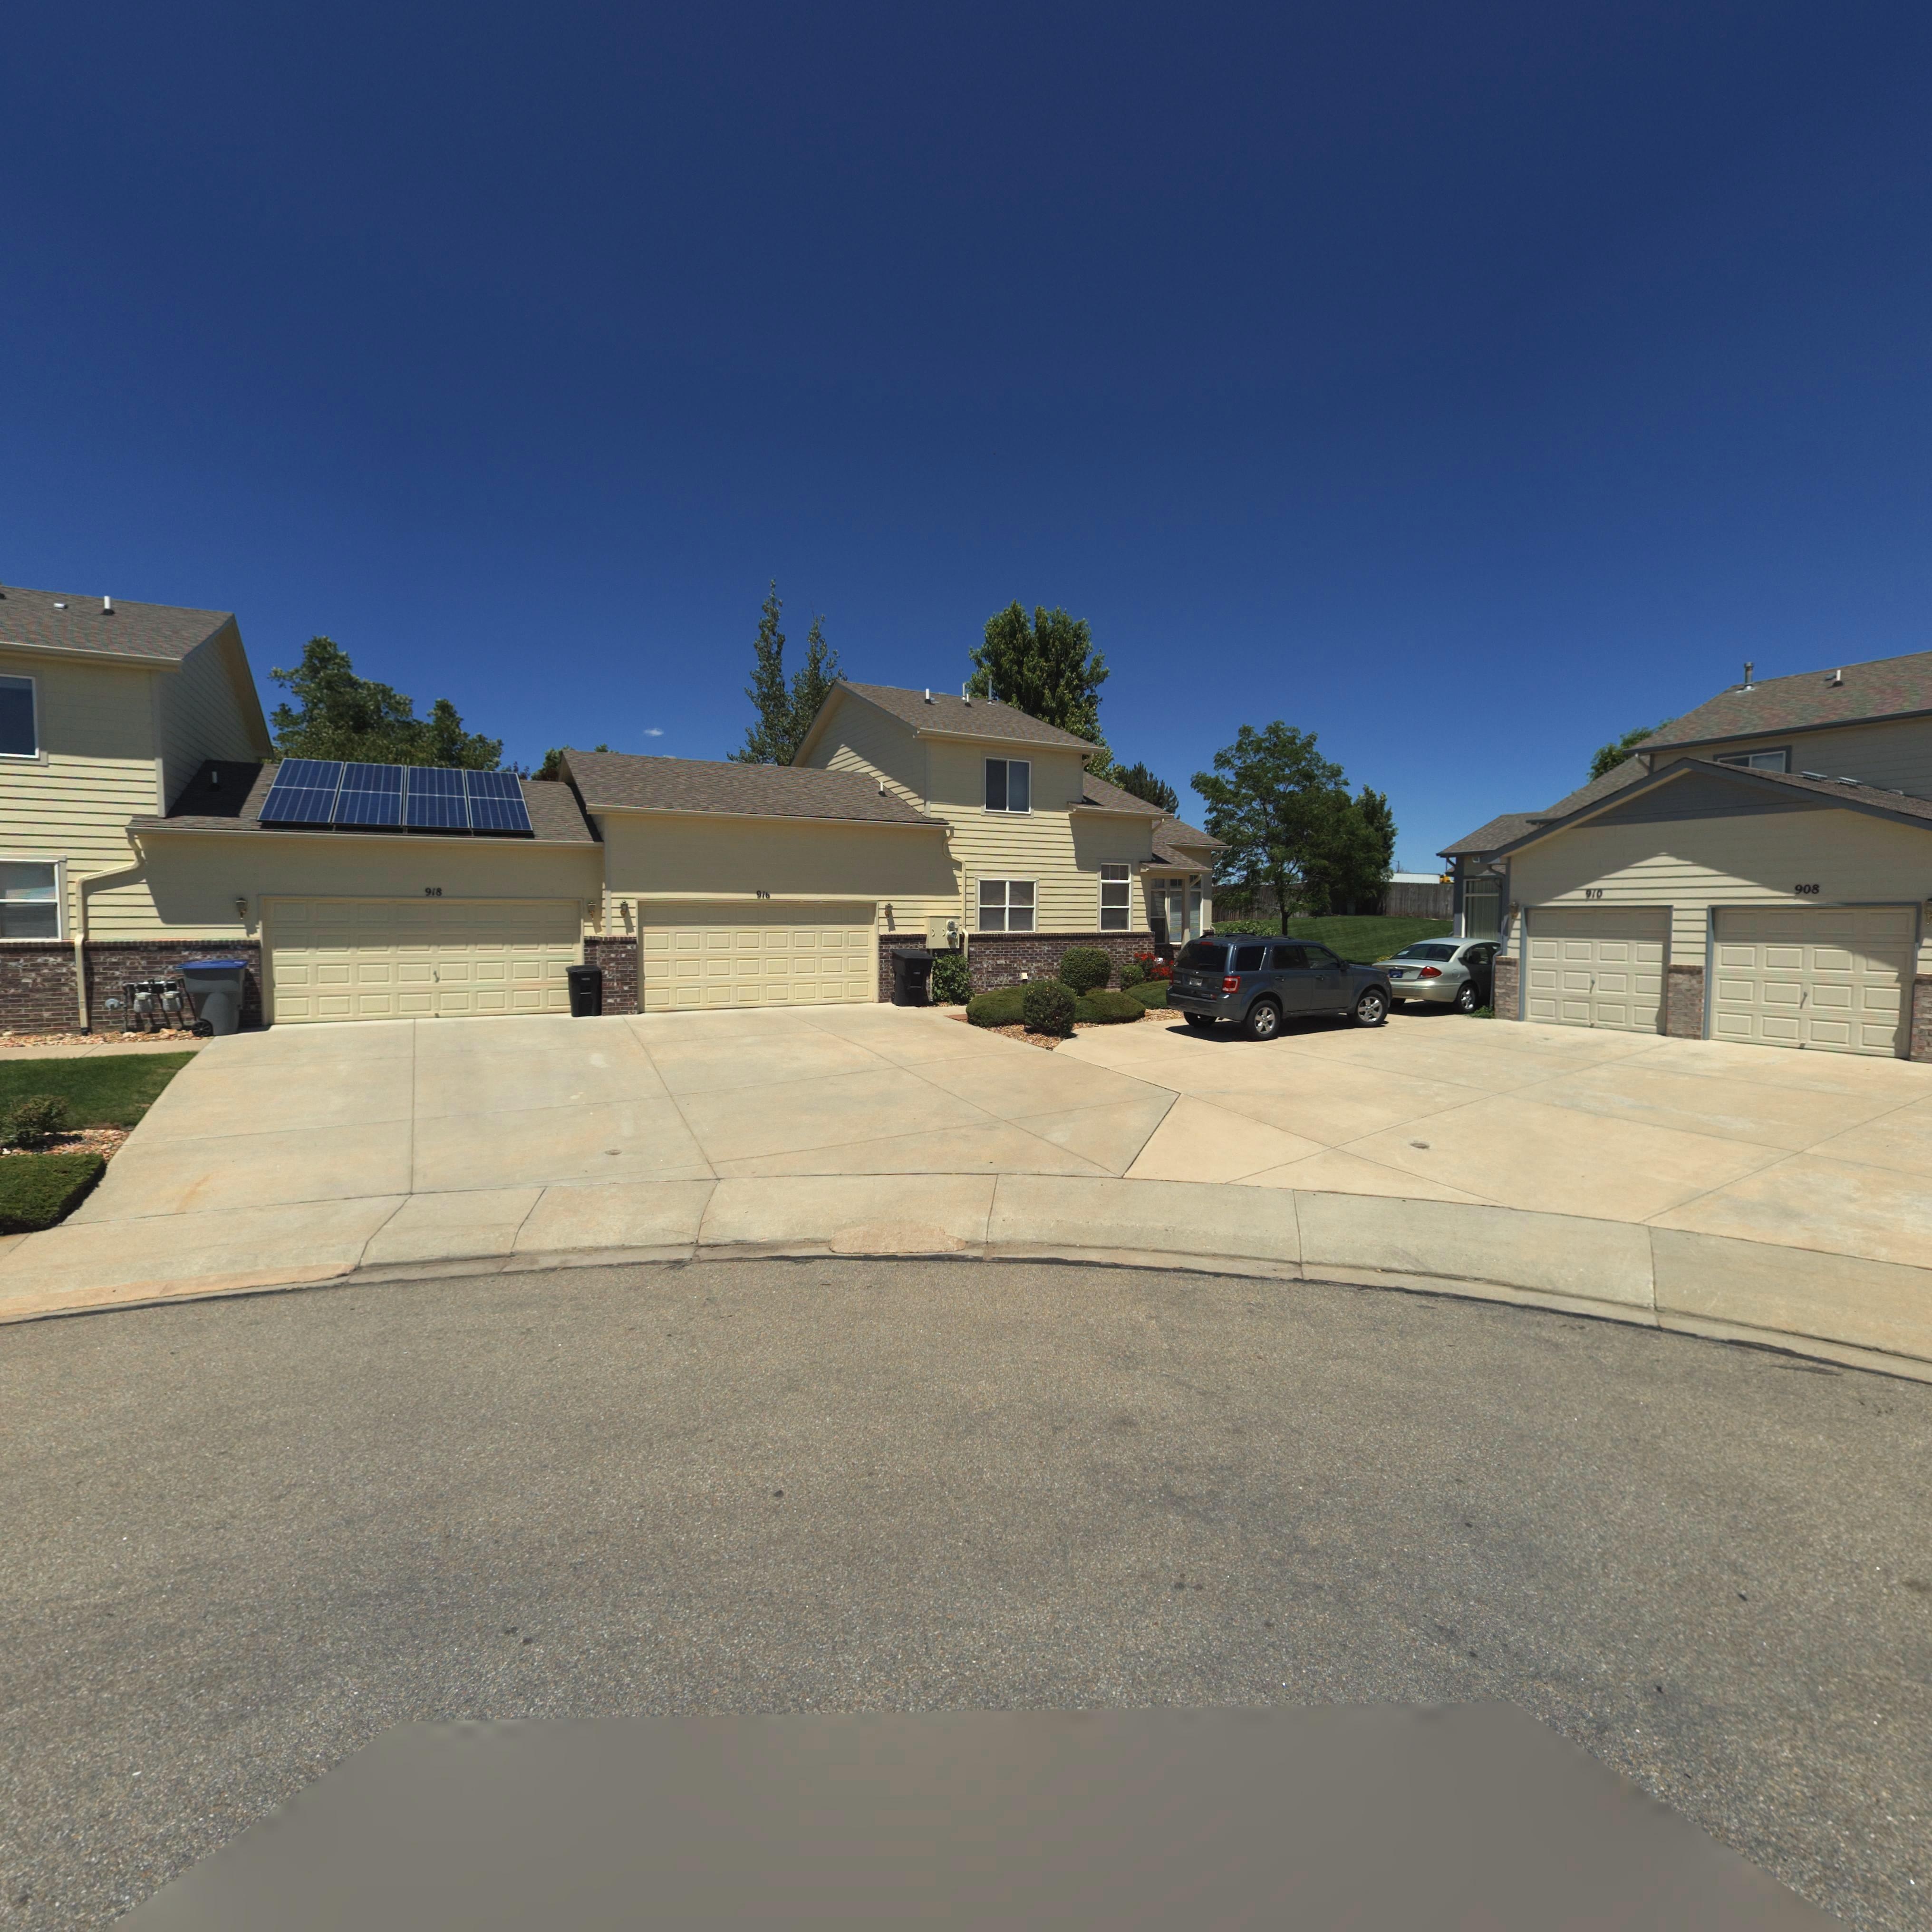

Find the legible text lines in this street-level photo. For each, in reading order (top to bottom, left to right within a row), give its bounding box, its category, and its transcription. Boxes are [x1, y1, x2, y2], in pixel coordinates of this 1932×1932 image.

[425, 887, 442, 897] StreetNumber: 918
[756, 889, 770, 899] StreetNumber: 916
[1585, 888, 1603, 898] StreetNumber: 910
[1794, 883, 1820, 895] StreetNumber: 908